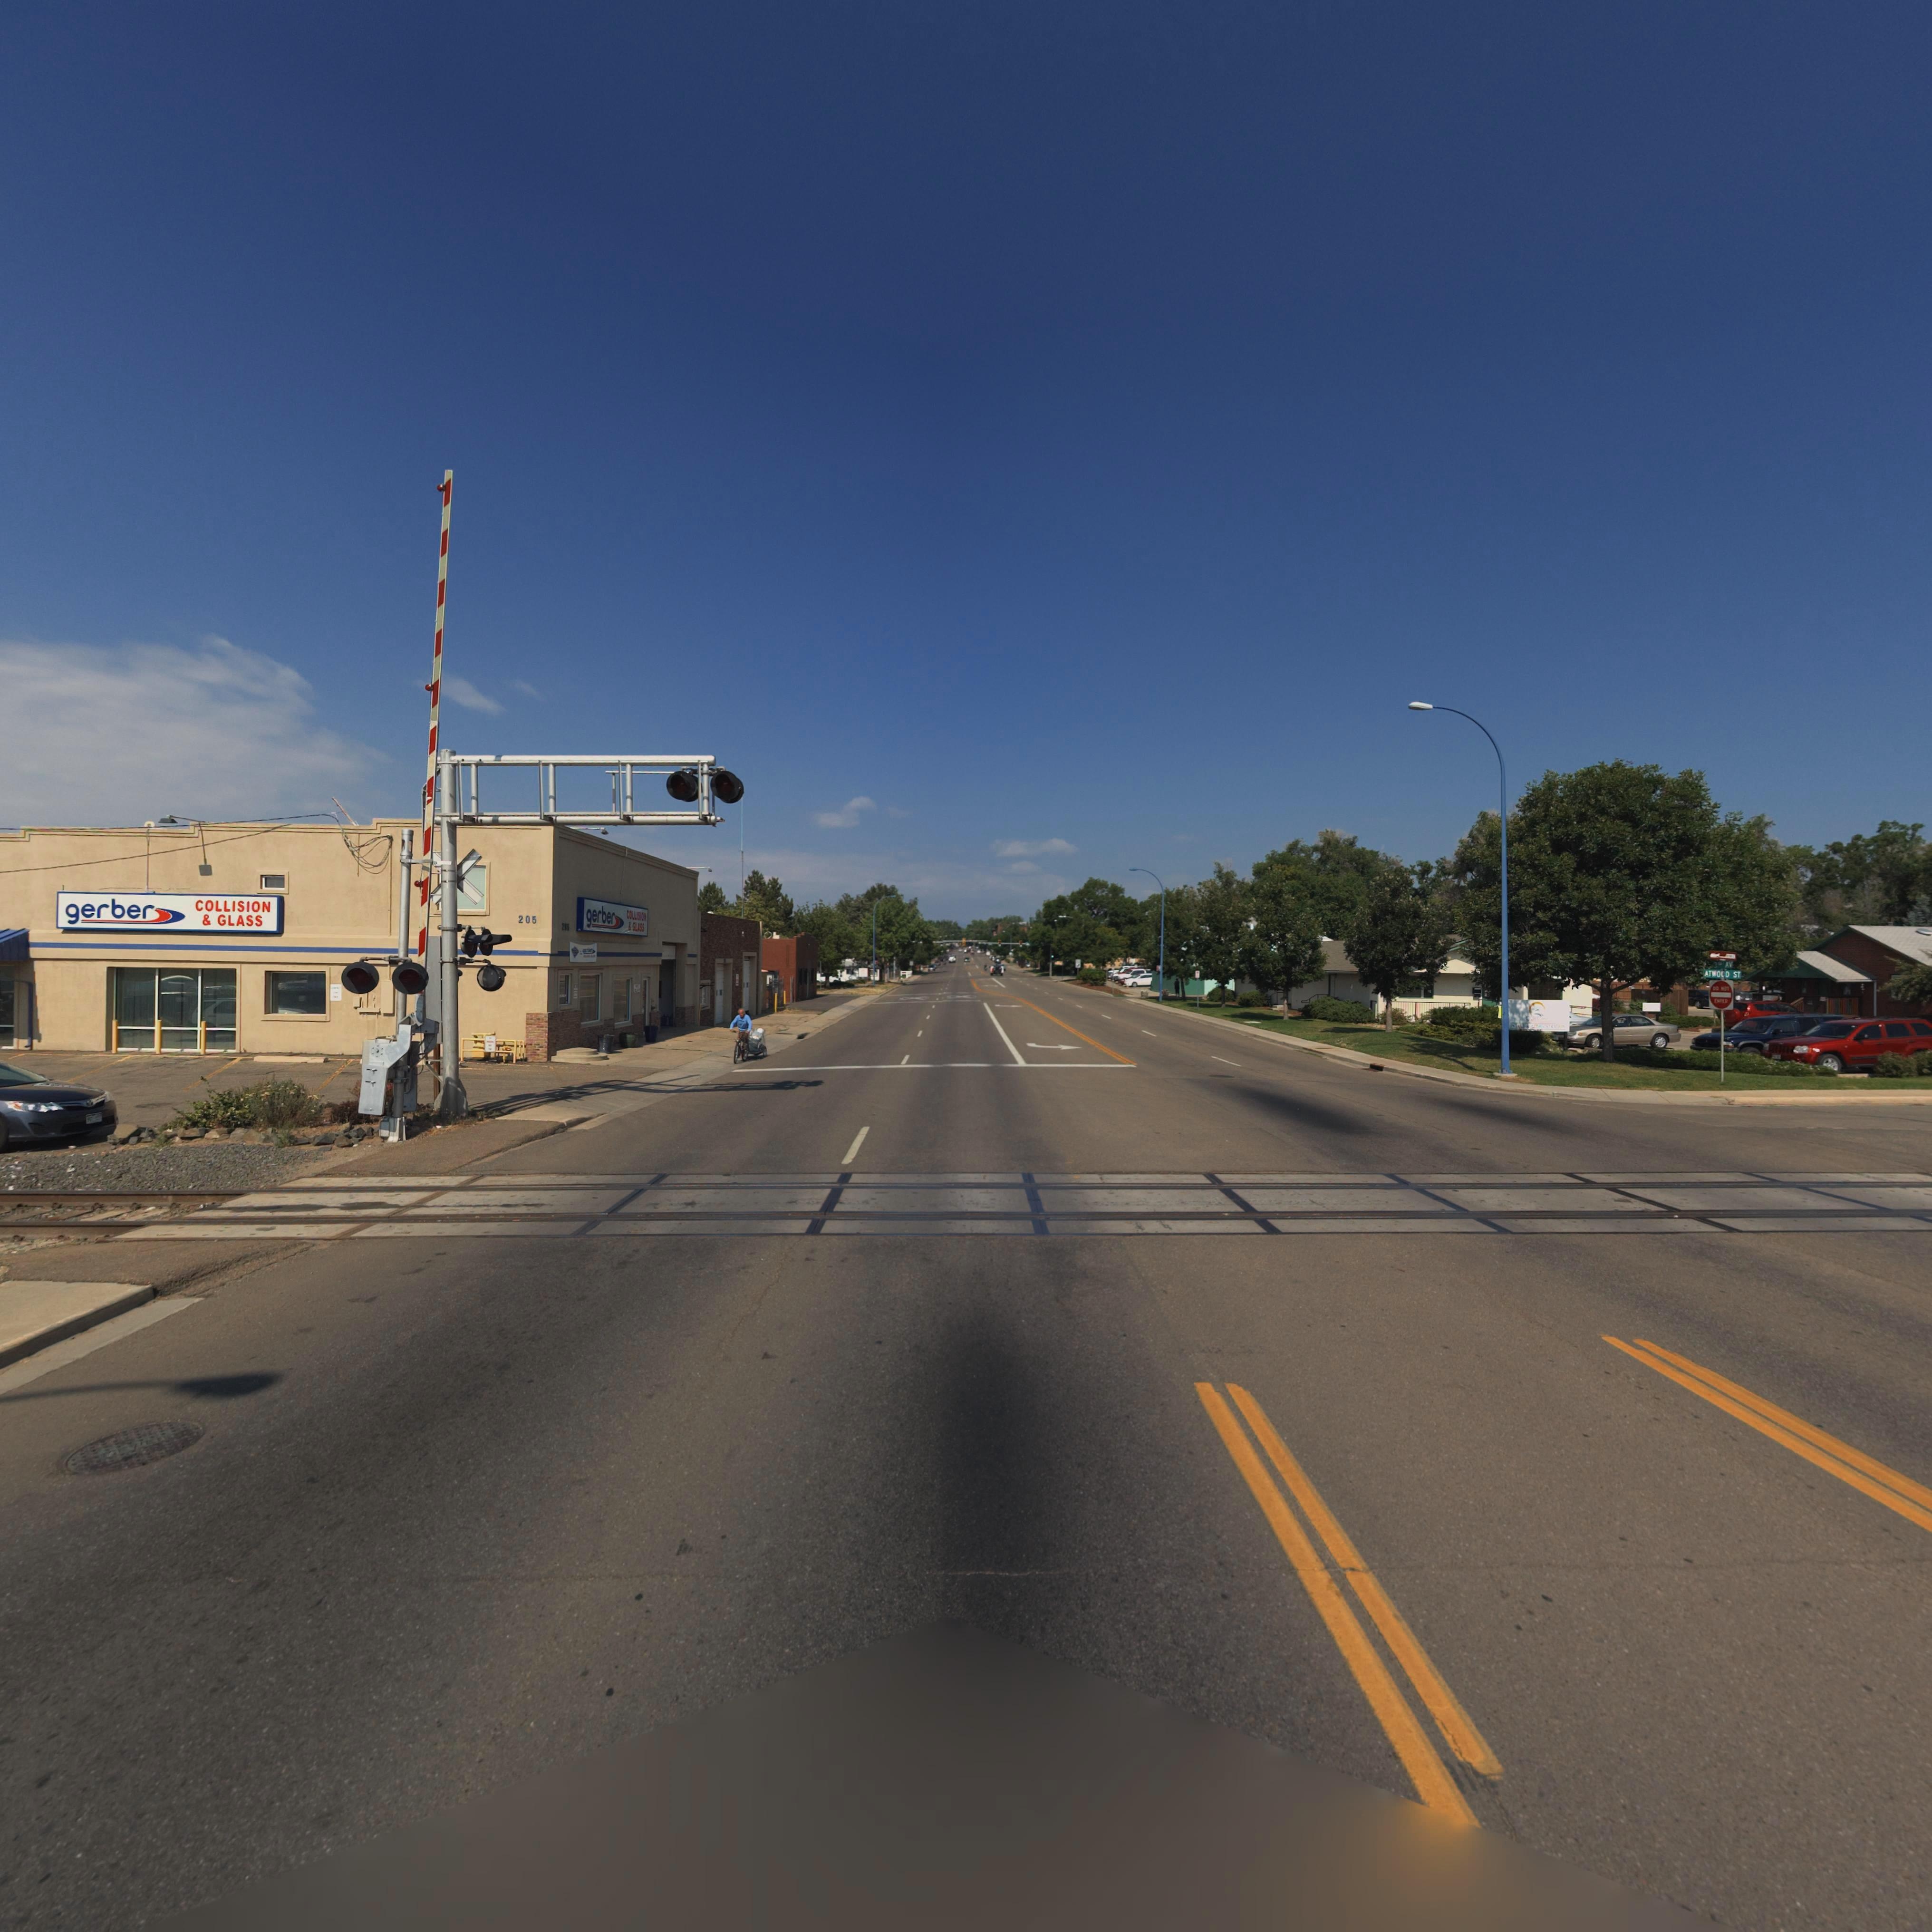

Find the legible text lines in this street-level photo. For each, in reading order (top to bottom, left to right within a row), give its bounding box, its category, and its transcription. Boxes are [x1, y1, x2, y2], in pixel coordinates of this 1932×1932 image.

[194, 898, 270, 913] BusinessName: COLLISION
[64, 898, 156, 926] BusinessName: gerber
[202, 913, 263, 927] BusinessName: & GLASS
[517, 915, 537, 924] StreetNumber: 205
[585, 905, 616, 928] BusinessName: gerber
[626, 909, 647, 921] BusinessName: COLL***O*
[561, 922, 570, 931] StreetNumber: *205
[628, 921, 645, 932] BusinessName: * G**SS
[1712, 961, 1734, 968] StreetName: 3** AV
[1703, 970, 1741, 978] StreetName: ATWOOD ST
[1525, 1015, 1552, 1021] BusinessName: O** ******